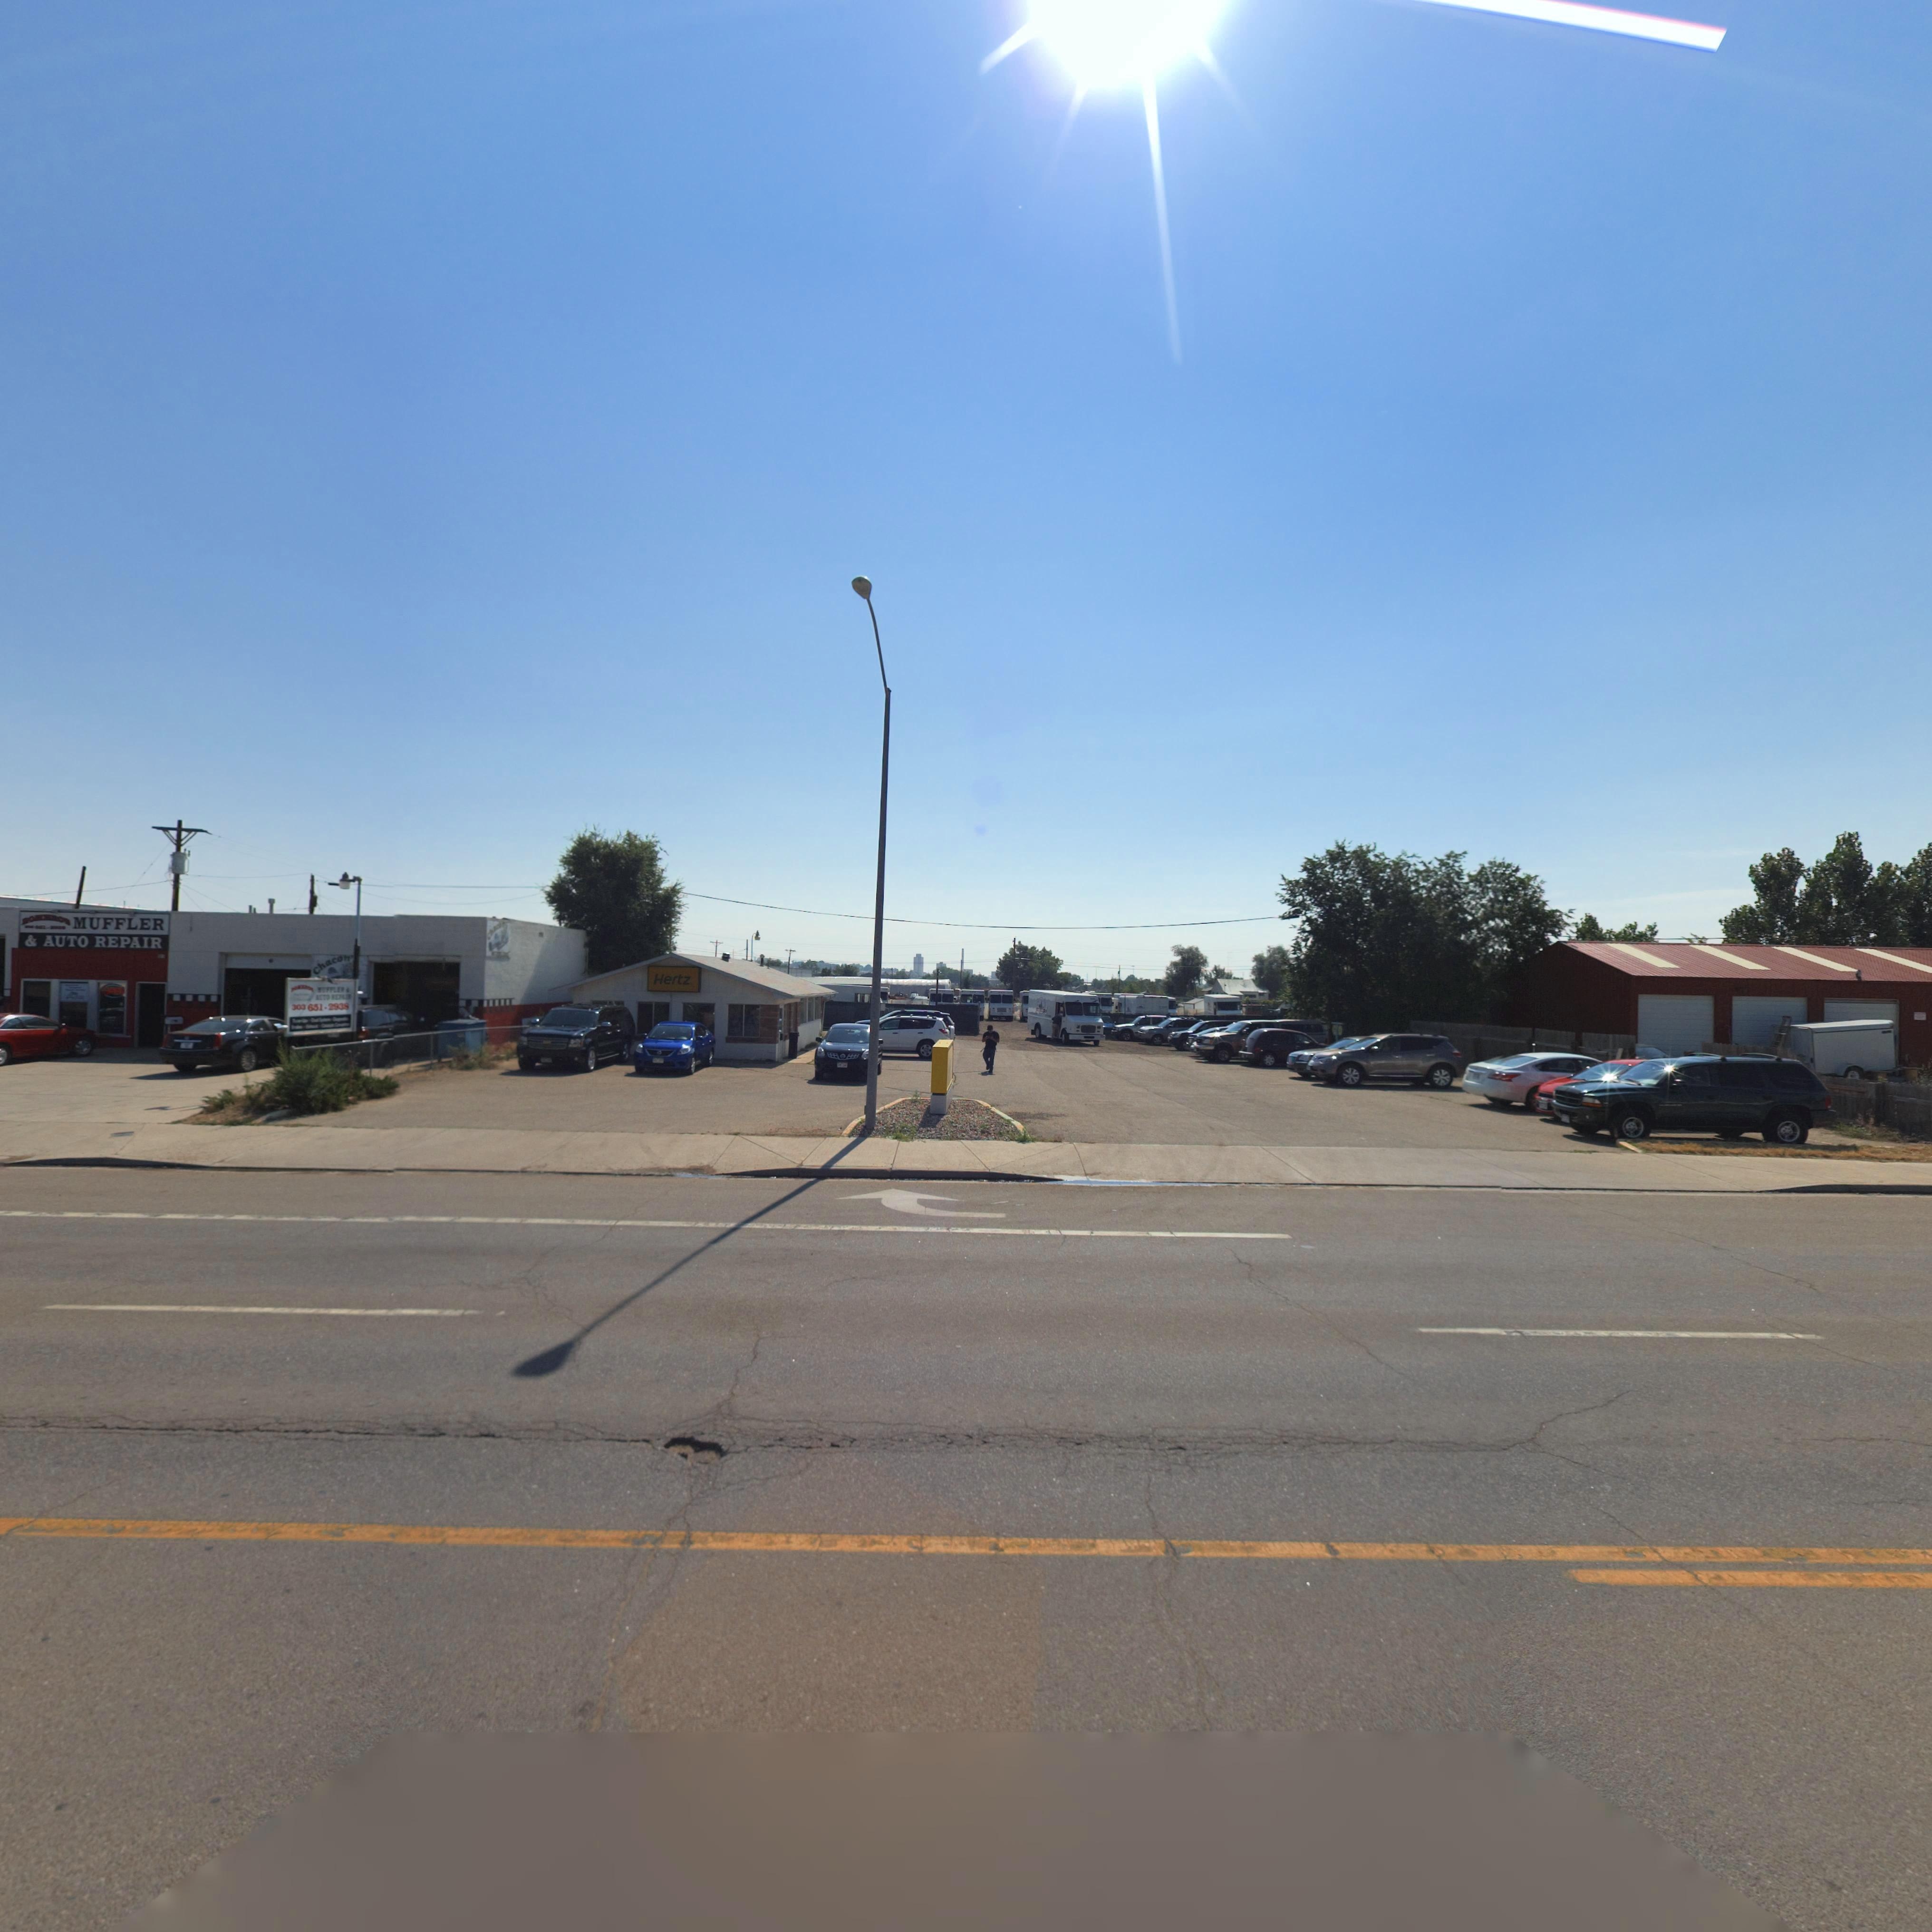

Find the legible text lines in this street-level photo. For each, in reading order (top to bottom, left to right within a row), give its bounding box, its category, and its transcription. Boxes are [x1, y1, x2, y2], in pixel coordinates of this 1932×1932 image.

[22, 914, 70, 926] BusinessName: *O****O*
[72, 917, 164, 930] BusinessName: MUFFLER
[24, 935, 162, 949] BusinessName: & AUTO REPAIR
[312, 955, 350, 975] BusinessName: Ch*con
[653, 973, 691, 985] BusinessName: Hertz
[318, 986, 350, 993] BusinessName: **FFL** *
[315, 993, 351, 1001] BusinessName: A*TO *E****